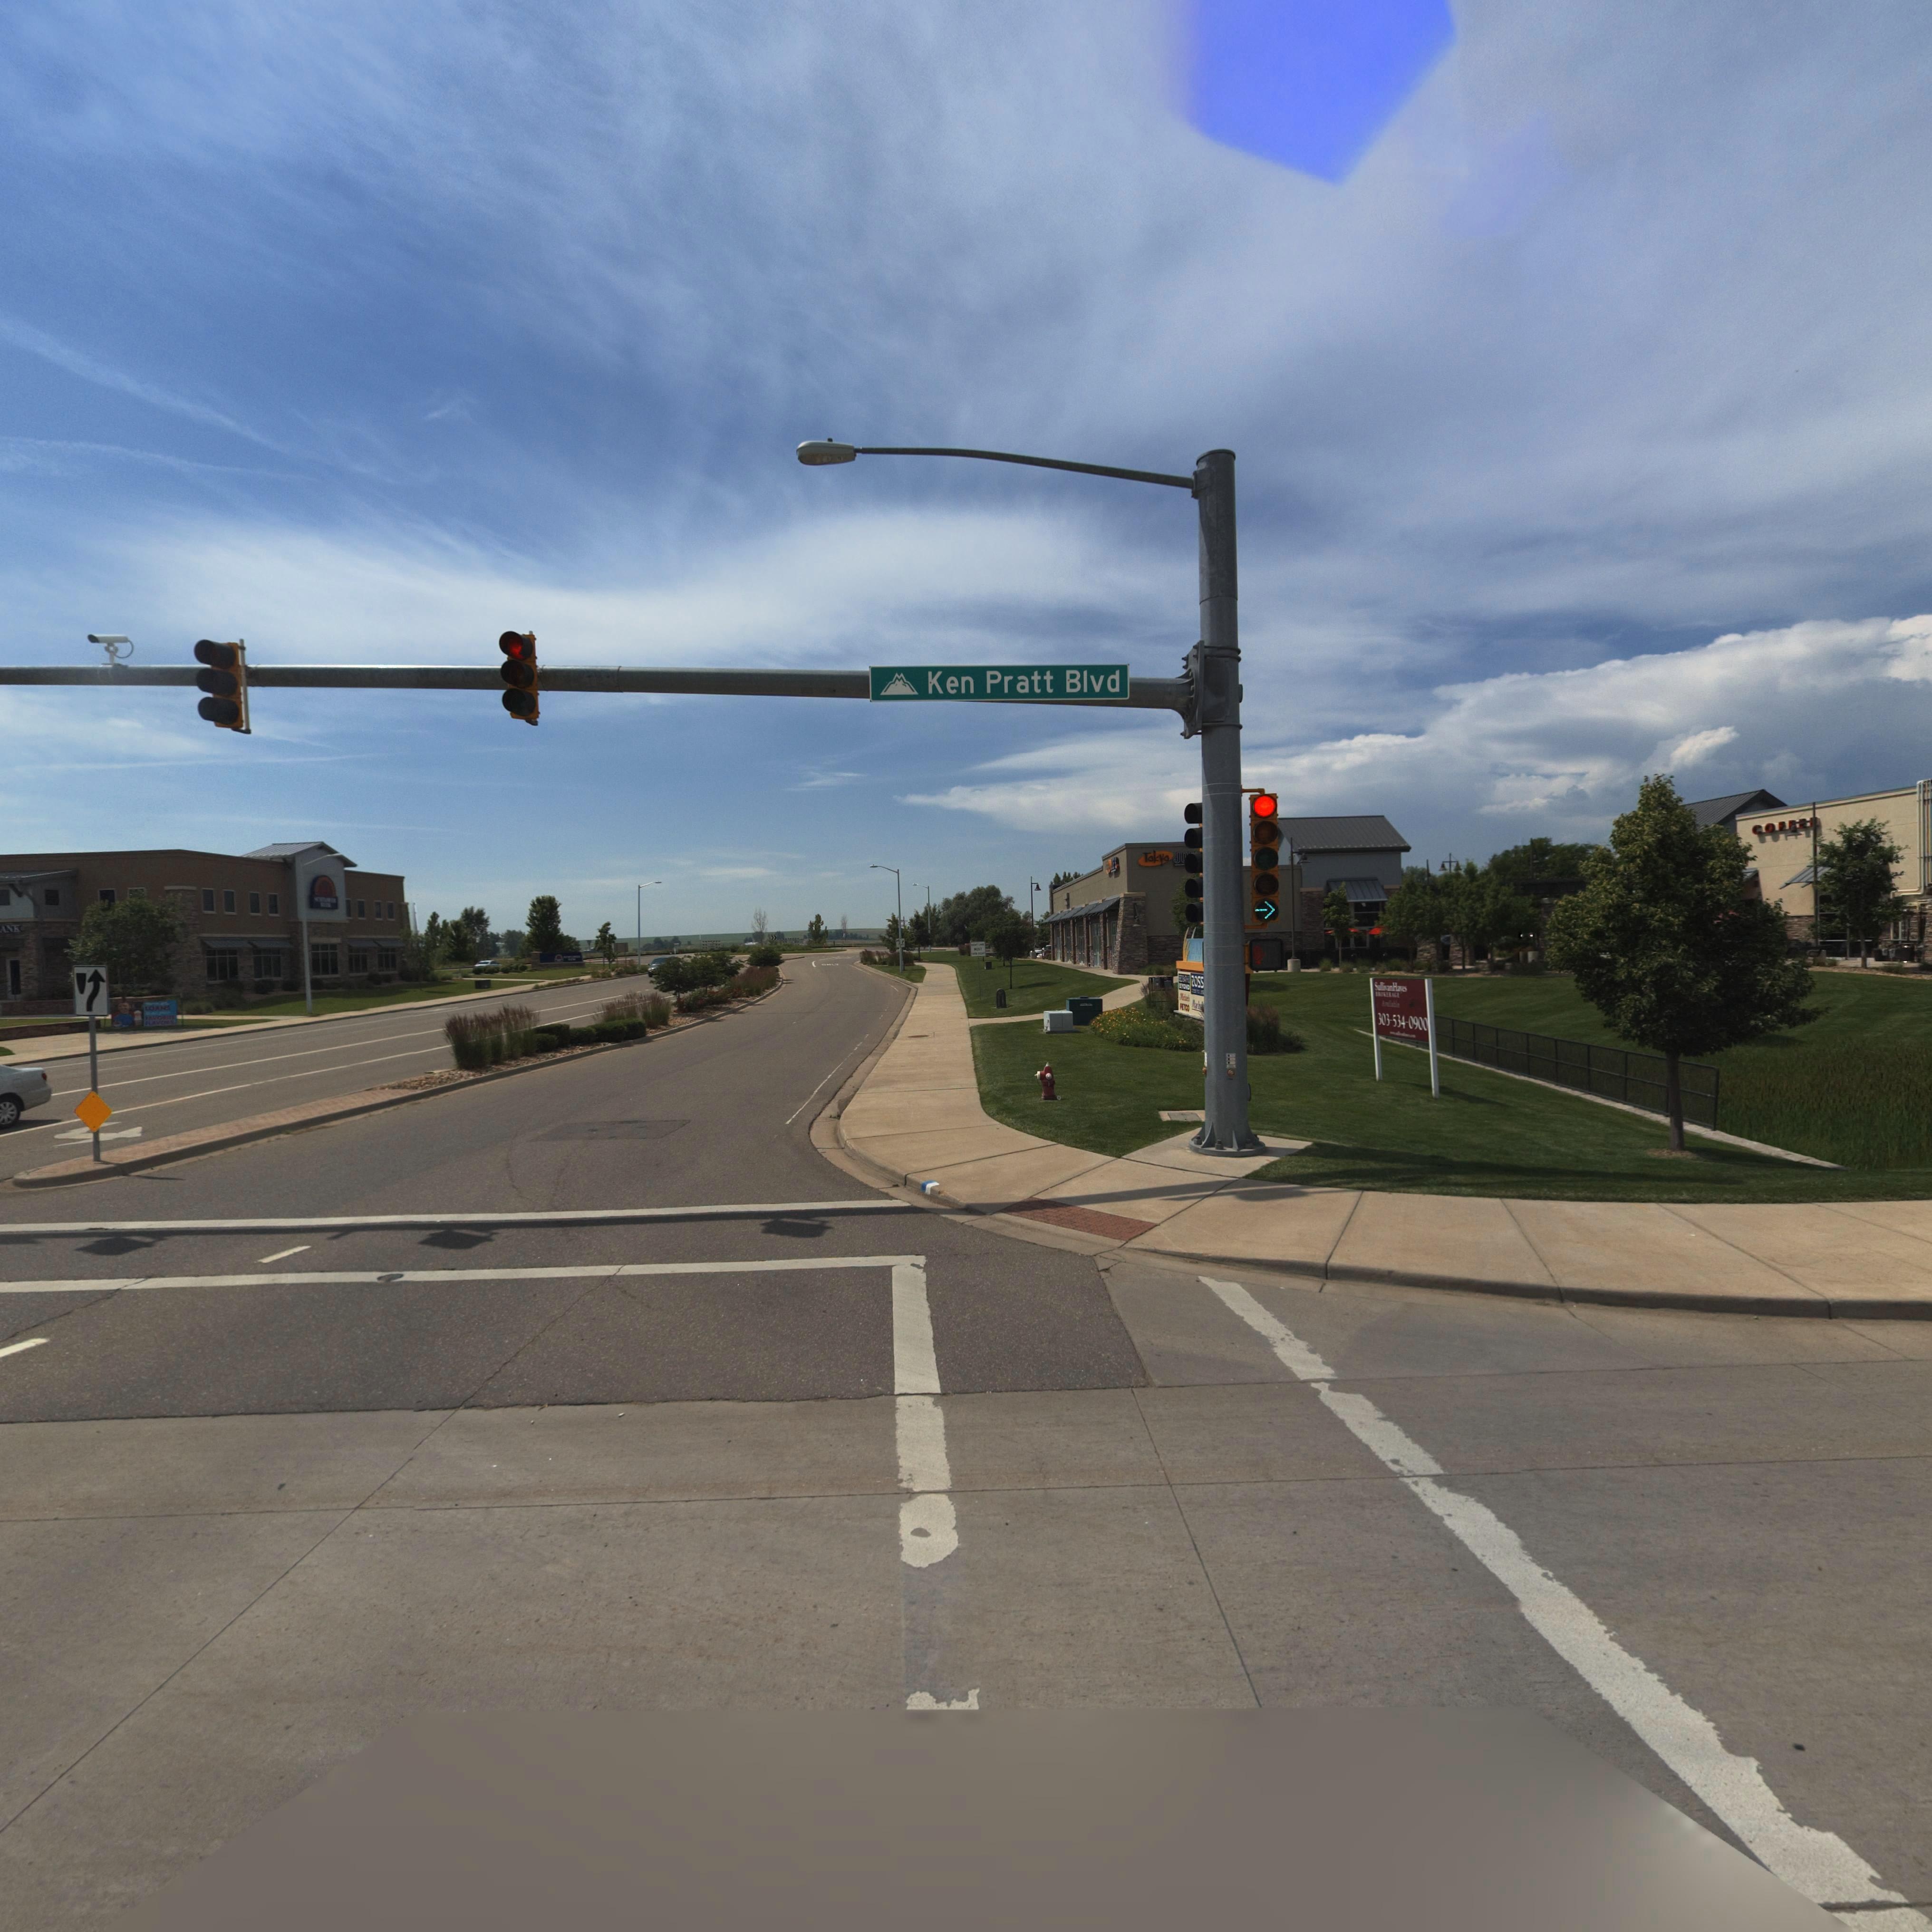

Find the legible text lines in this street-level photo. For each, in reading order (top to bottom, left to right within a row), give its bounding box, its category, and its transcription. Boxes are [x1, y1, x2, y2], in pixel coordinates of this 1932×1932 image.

[926, 668, 1121, 696] StreetName: Ken Pratt Blvd
[1751, 816, 1818, 835] BusinessName: COFFE*
[1141, 849, 1181, 867] BusinessName: Tokyo J
[0, 924, 21, 933] BusinessName: ANK
[1178, 982, 1190, 990] BusinessName: *E*O*D
[1190, 975, 1204, 989] BusinessName: ROSS
[1179, 992, 1190, 1003] BusinessName: M******
[1179, 1003, 1190, 1012] BusinessName: *ETCO
[1190, 998, 1204, 1011] BusinessName: Ma*h**